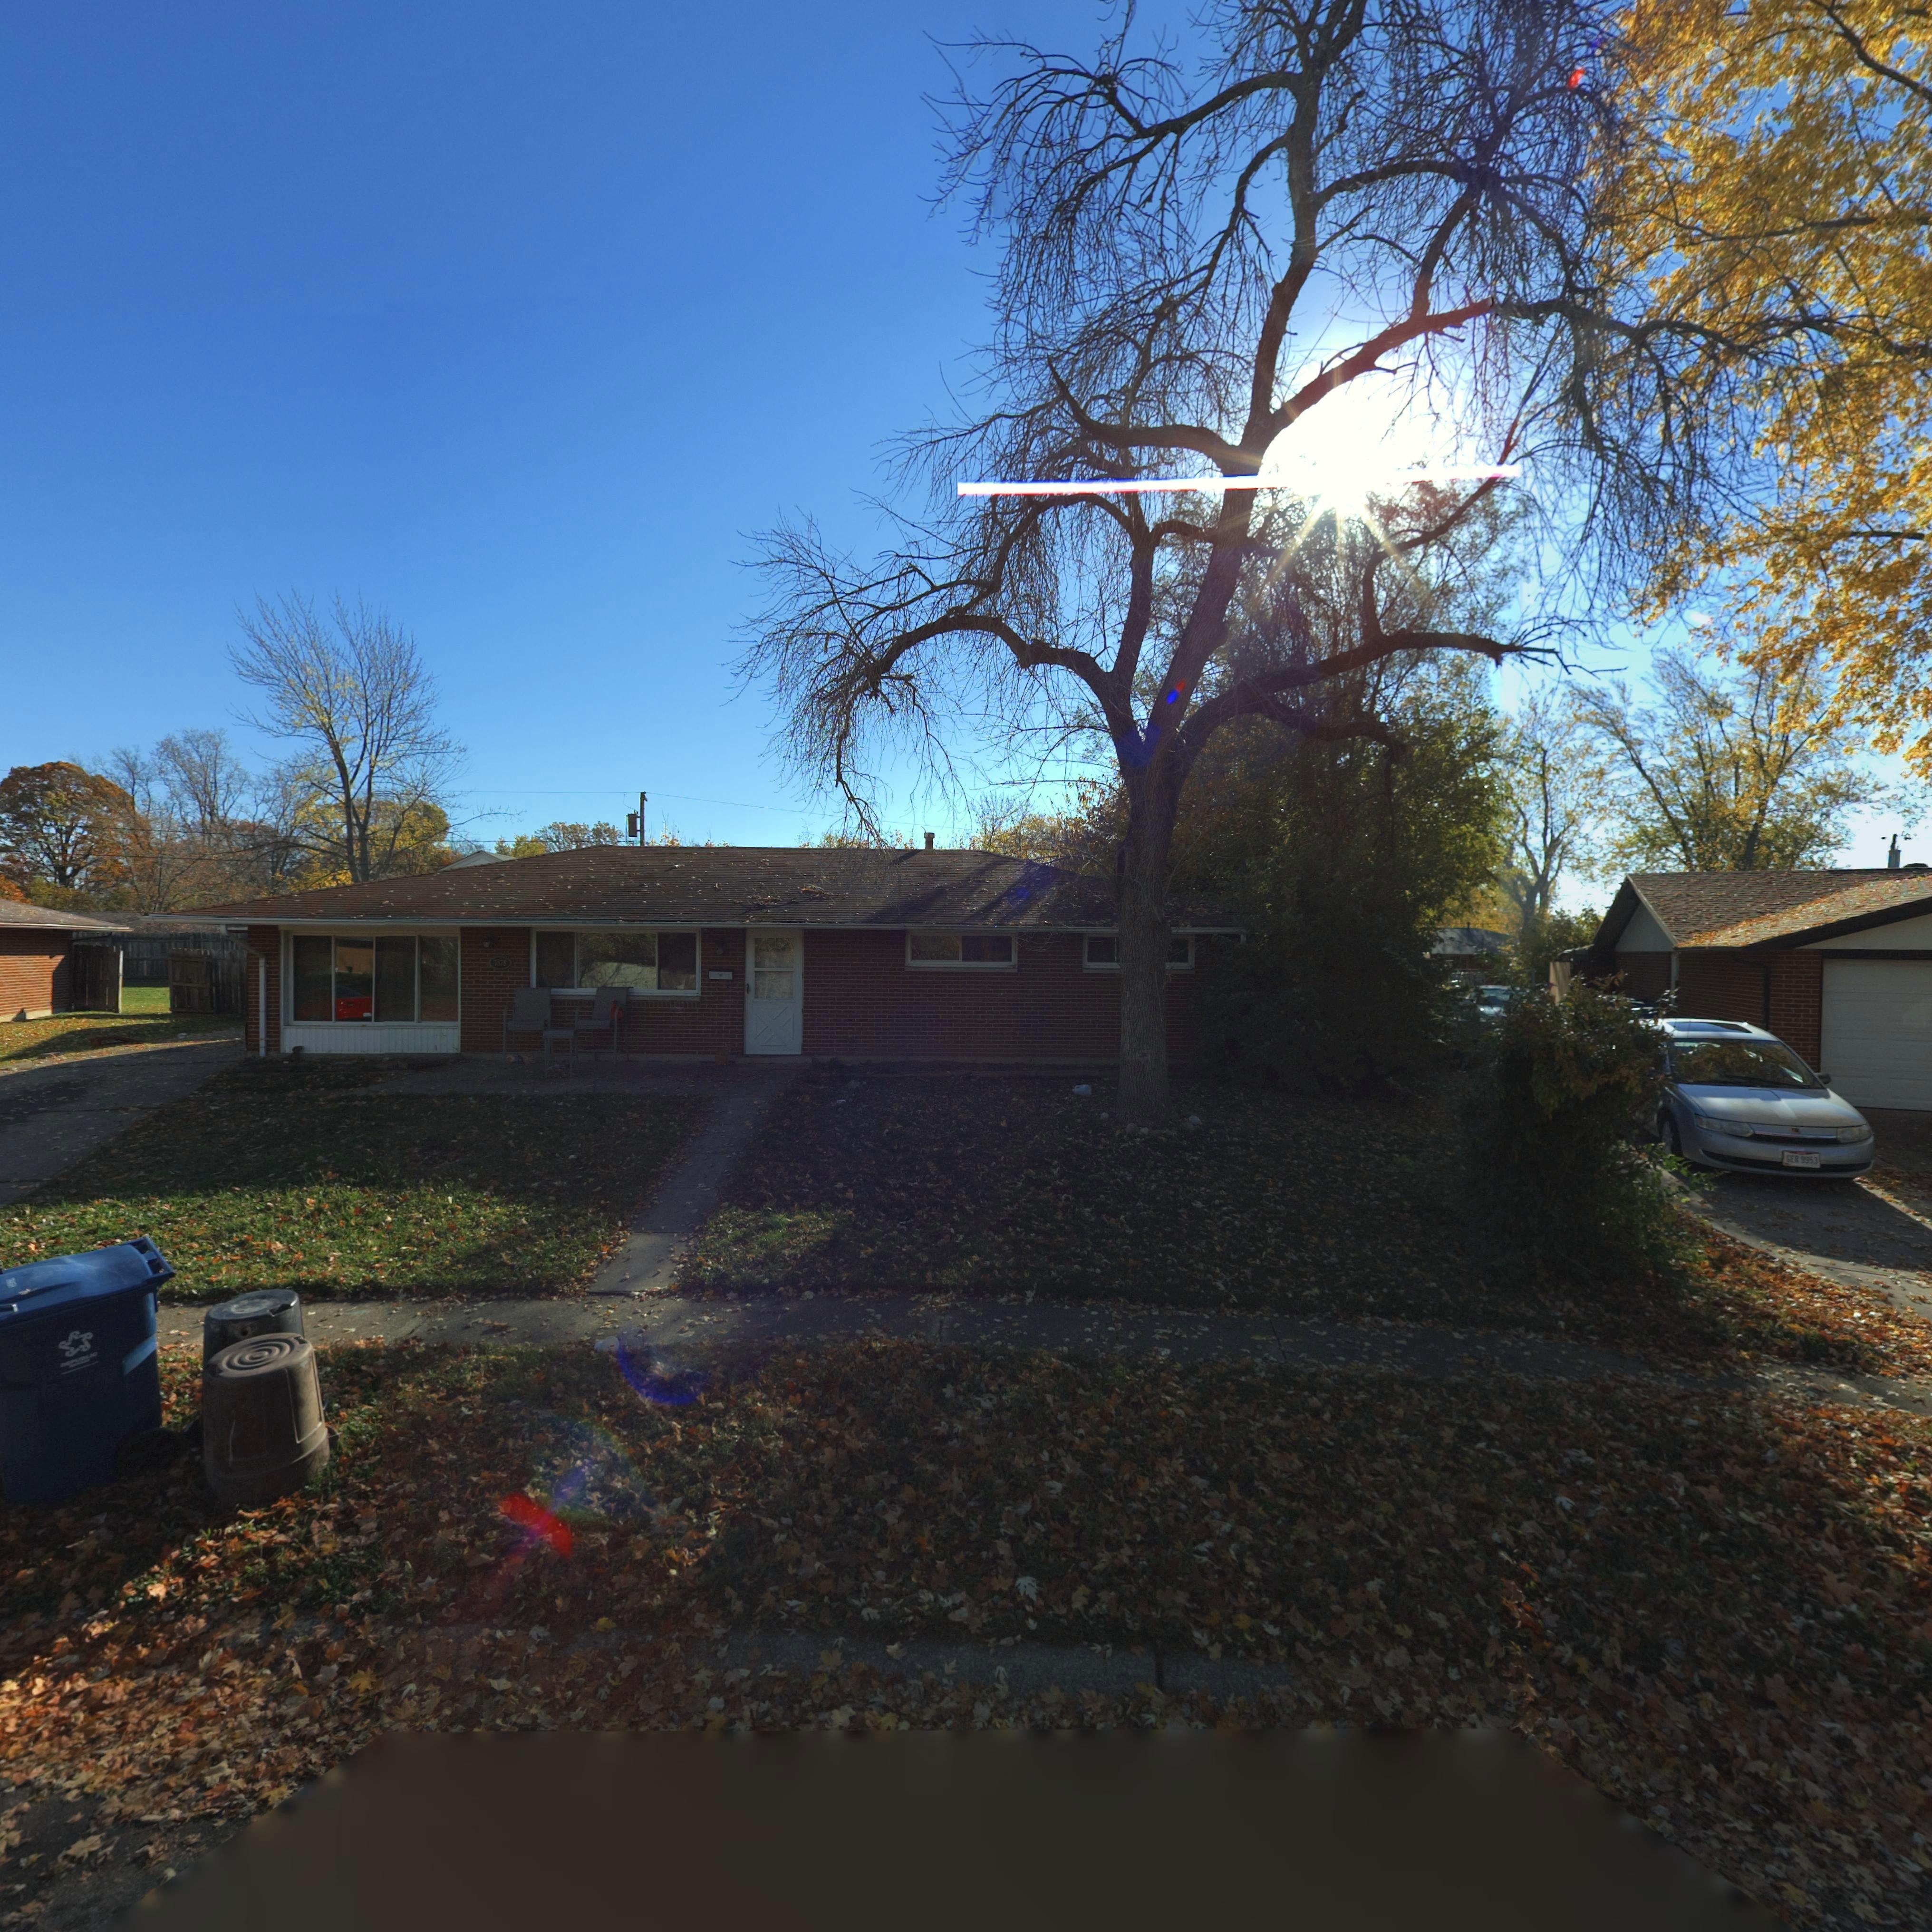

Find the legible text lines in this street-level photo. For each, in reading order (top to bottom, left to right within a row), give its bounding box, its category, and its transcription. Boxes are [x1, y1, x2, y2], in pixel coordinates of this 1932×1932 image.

[494, 959, 507, 966] StreetNumber: 7878